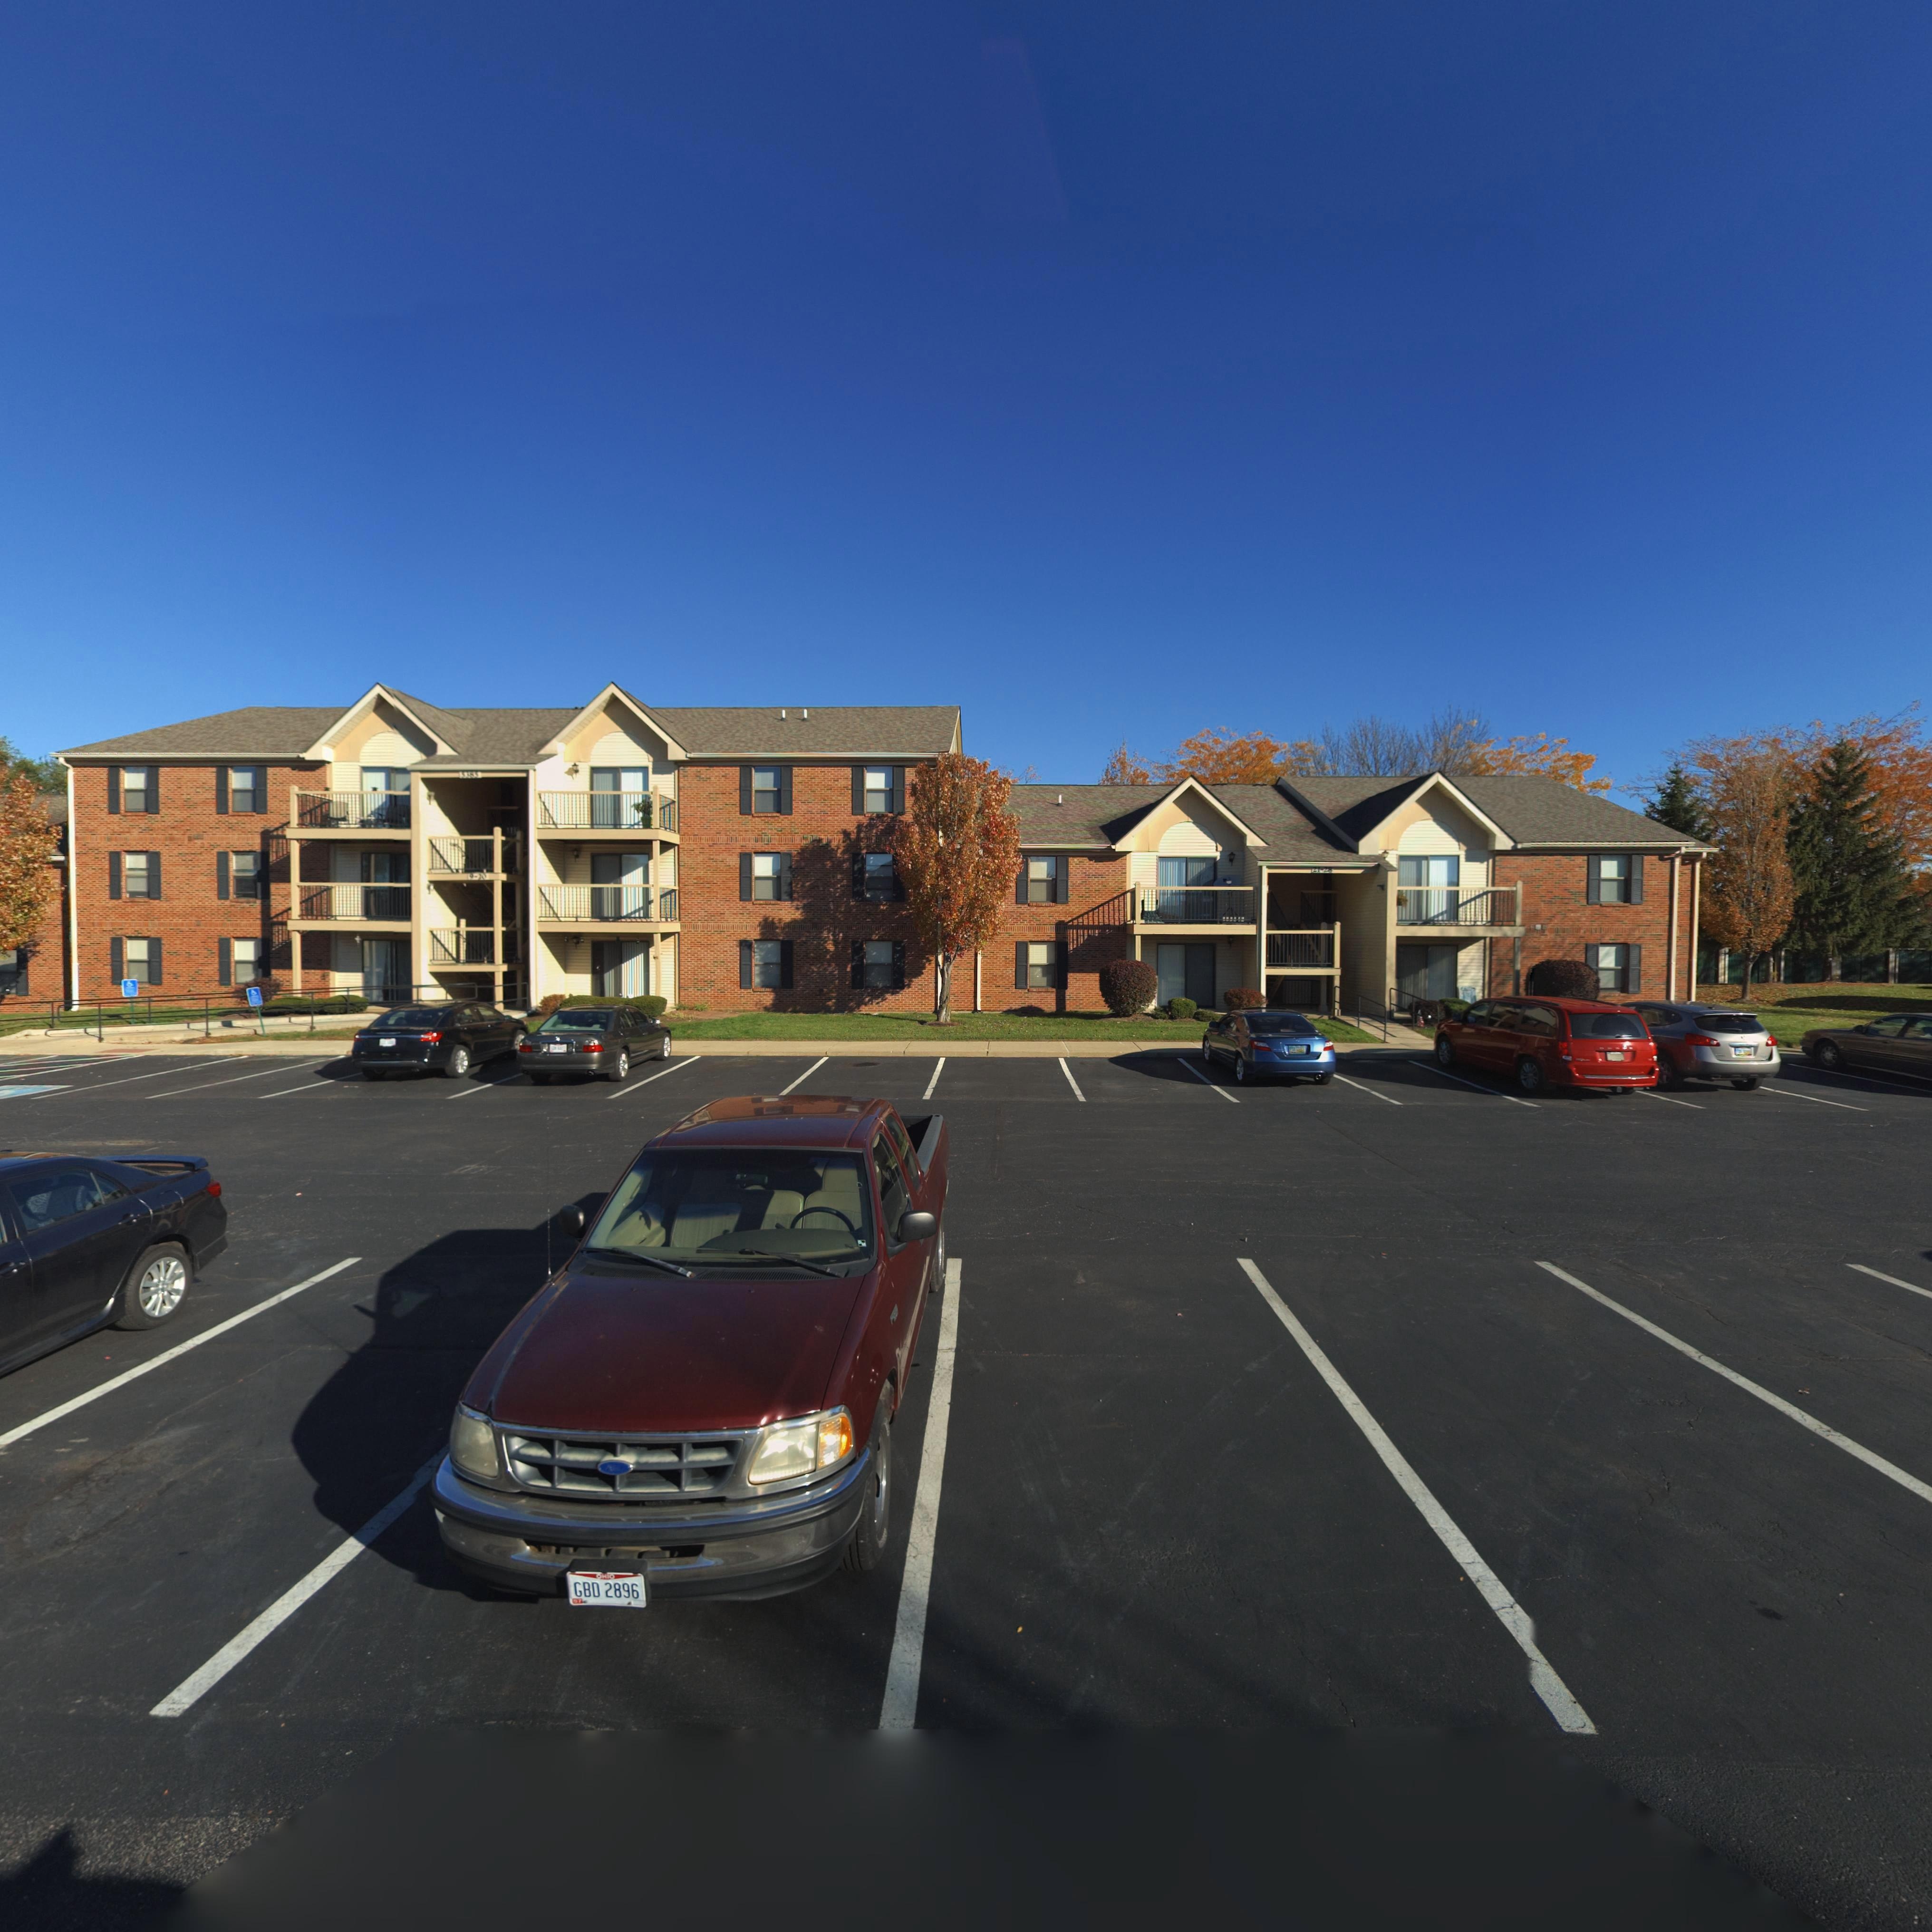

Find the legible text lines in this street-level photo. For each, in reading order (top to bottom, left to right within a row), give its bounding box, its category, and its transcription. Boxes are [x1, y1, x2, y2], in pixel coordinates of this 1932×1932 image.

[460, 770, 480, 778] StreetNumber: 5385
[1312, 866, 1332, 872] StreetNumber: 21-28
[468, 873, 486, 880] StreetNumber: 9-20